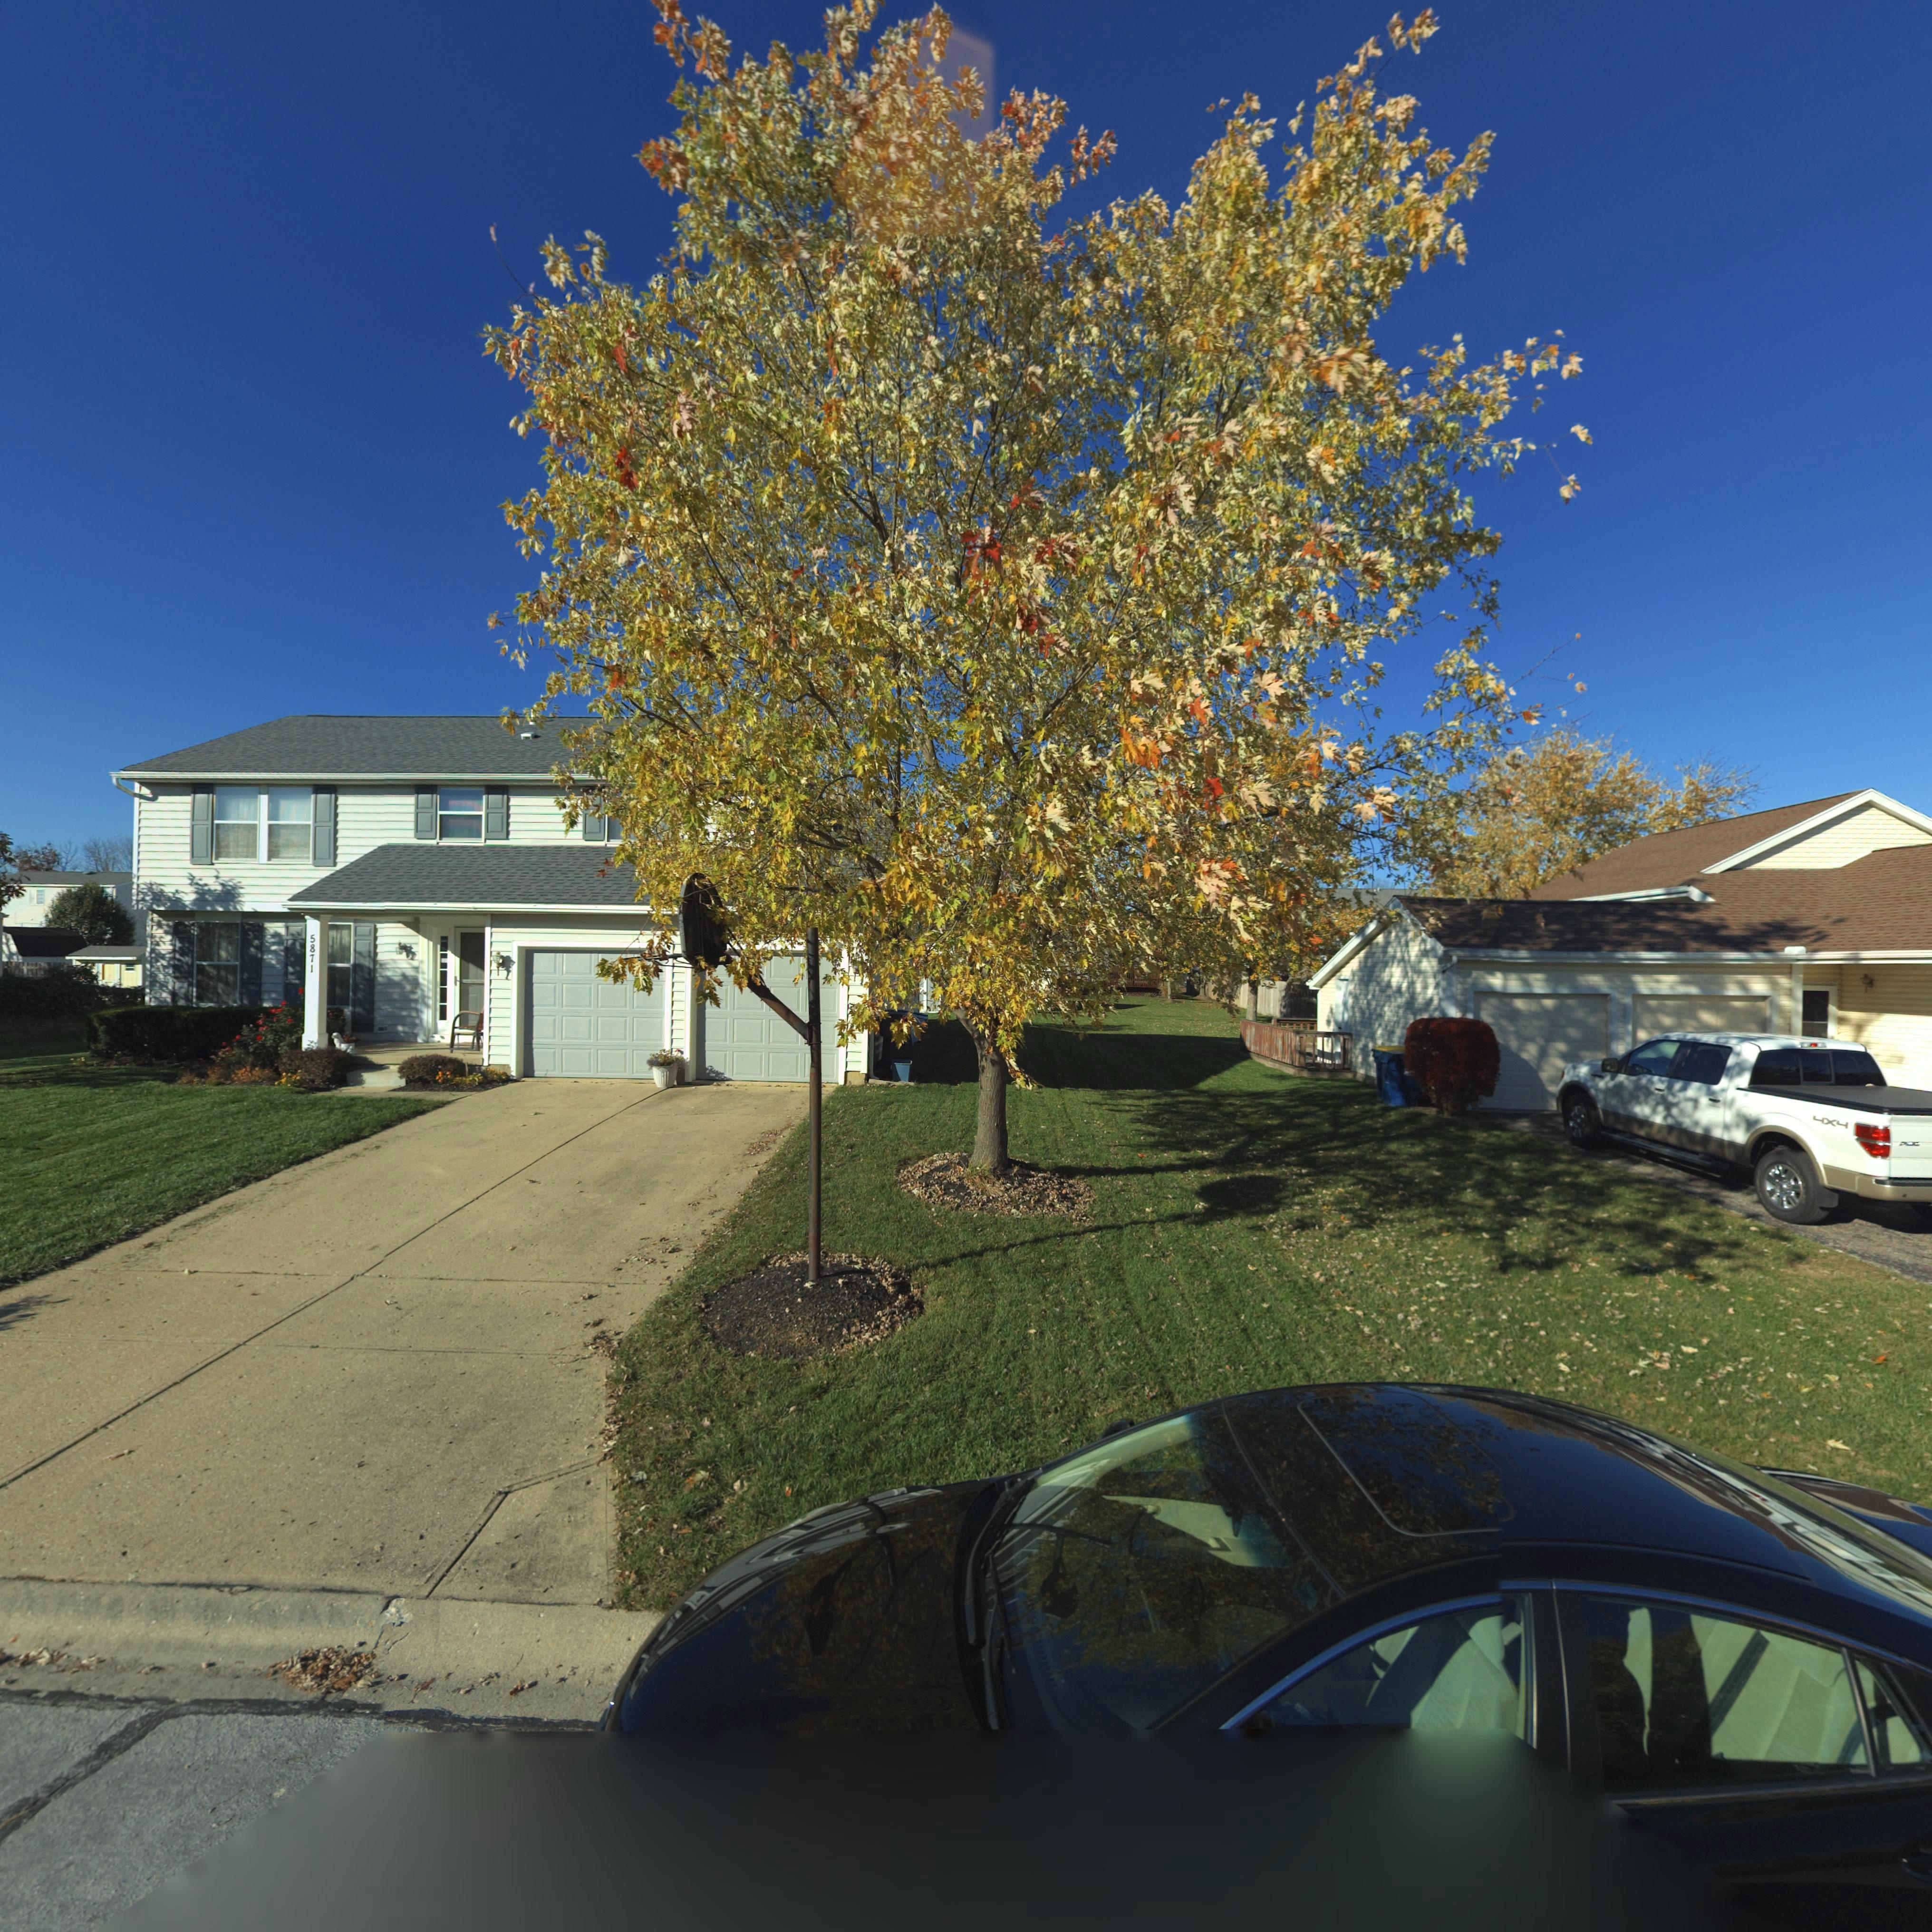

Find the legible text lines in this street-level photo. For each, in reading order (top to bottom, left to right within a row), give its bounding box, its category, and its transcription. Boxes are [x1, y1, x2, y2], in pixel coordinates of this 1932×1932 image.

[309, 933, 317, 975] StreetNumber: 5871